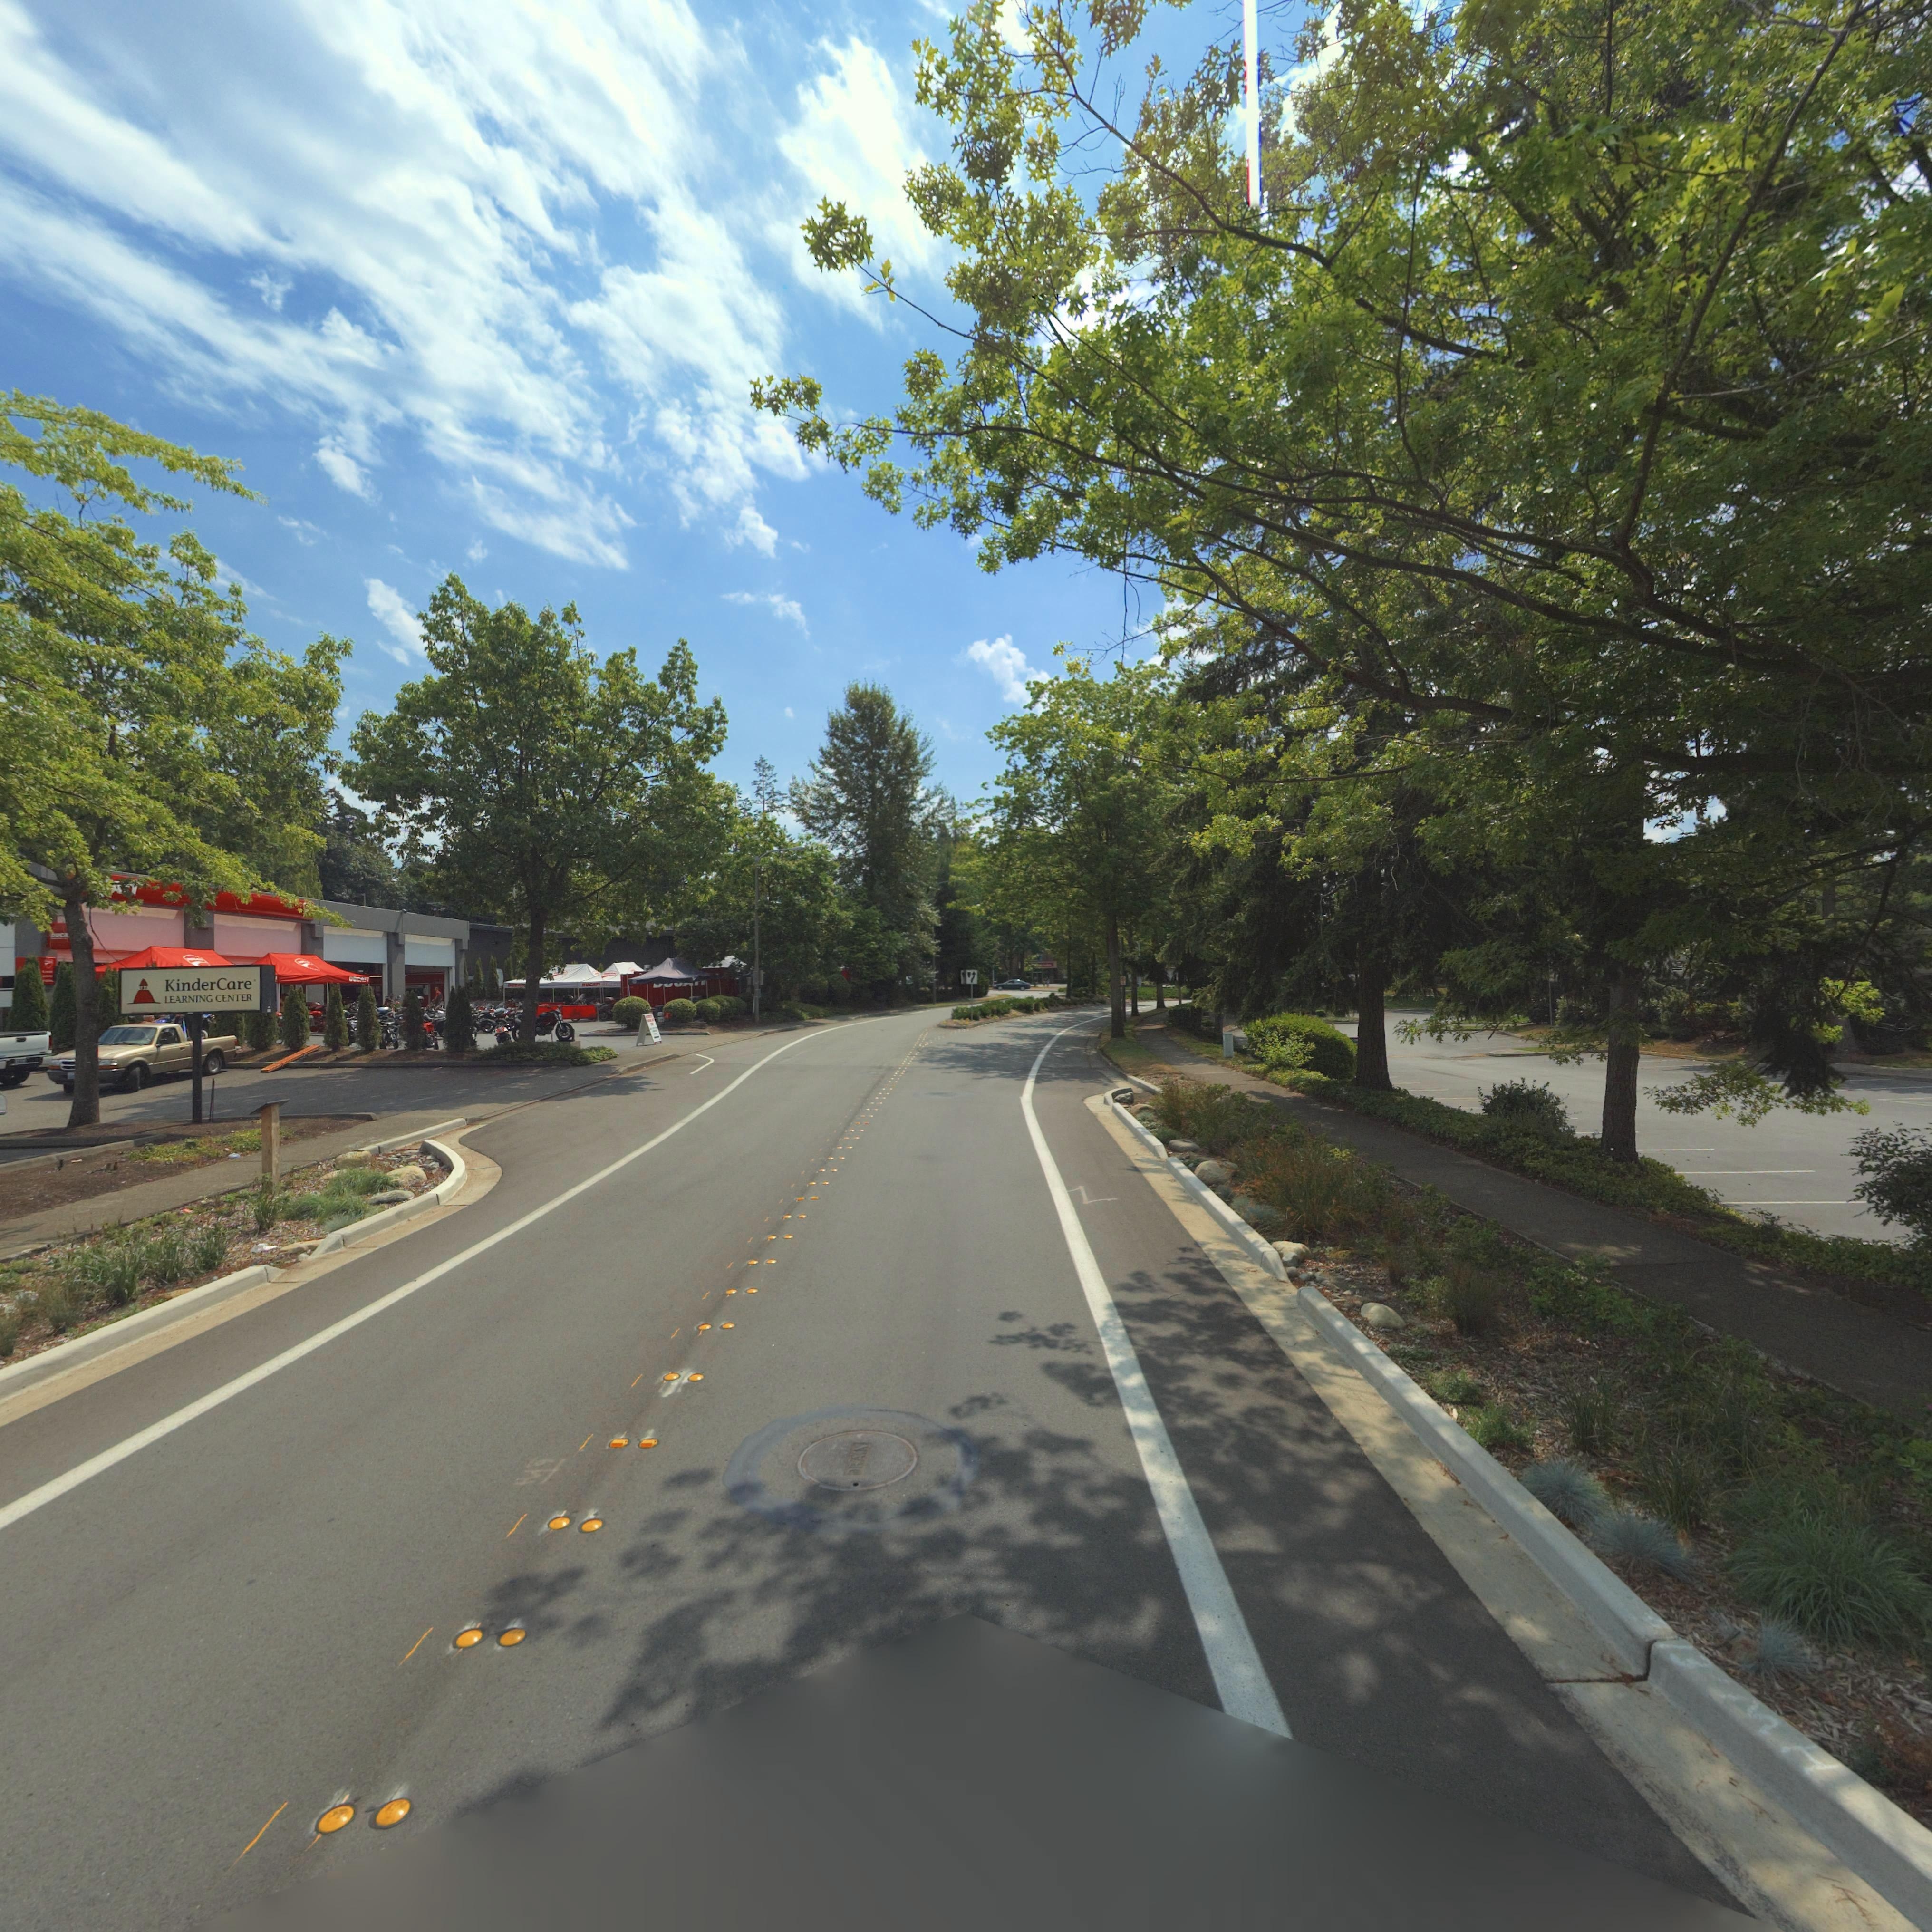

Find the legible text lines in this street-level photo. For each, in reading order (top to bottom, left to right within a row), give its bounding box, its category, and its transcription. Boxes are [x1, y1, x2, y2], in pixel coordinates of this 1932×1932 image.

[165, 977, 251, 991] BusinessName: KinderCare